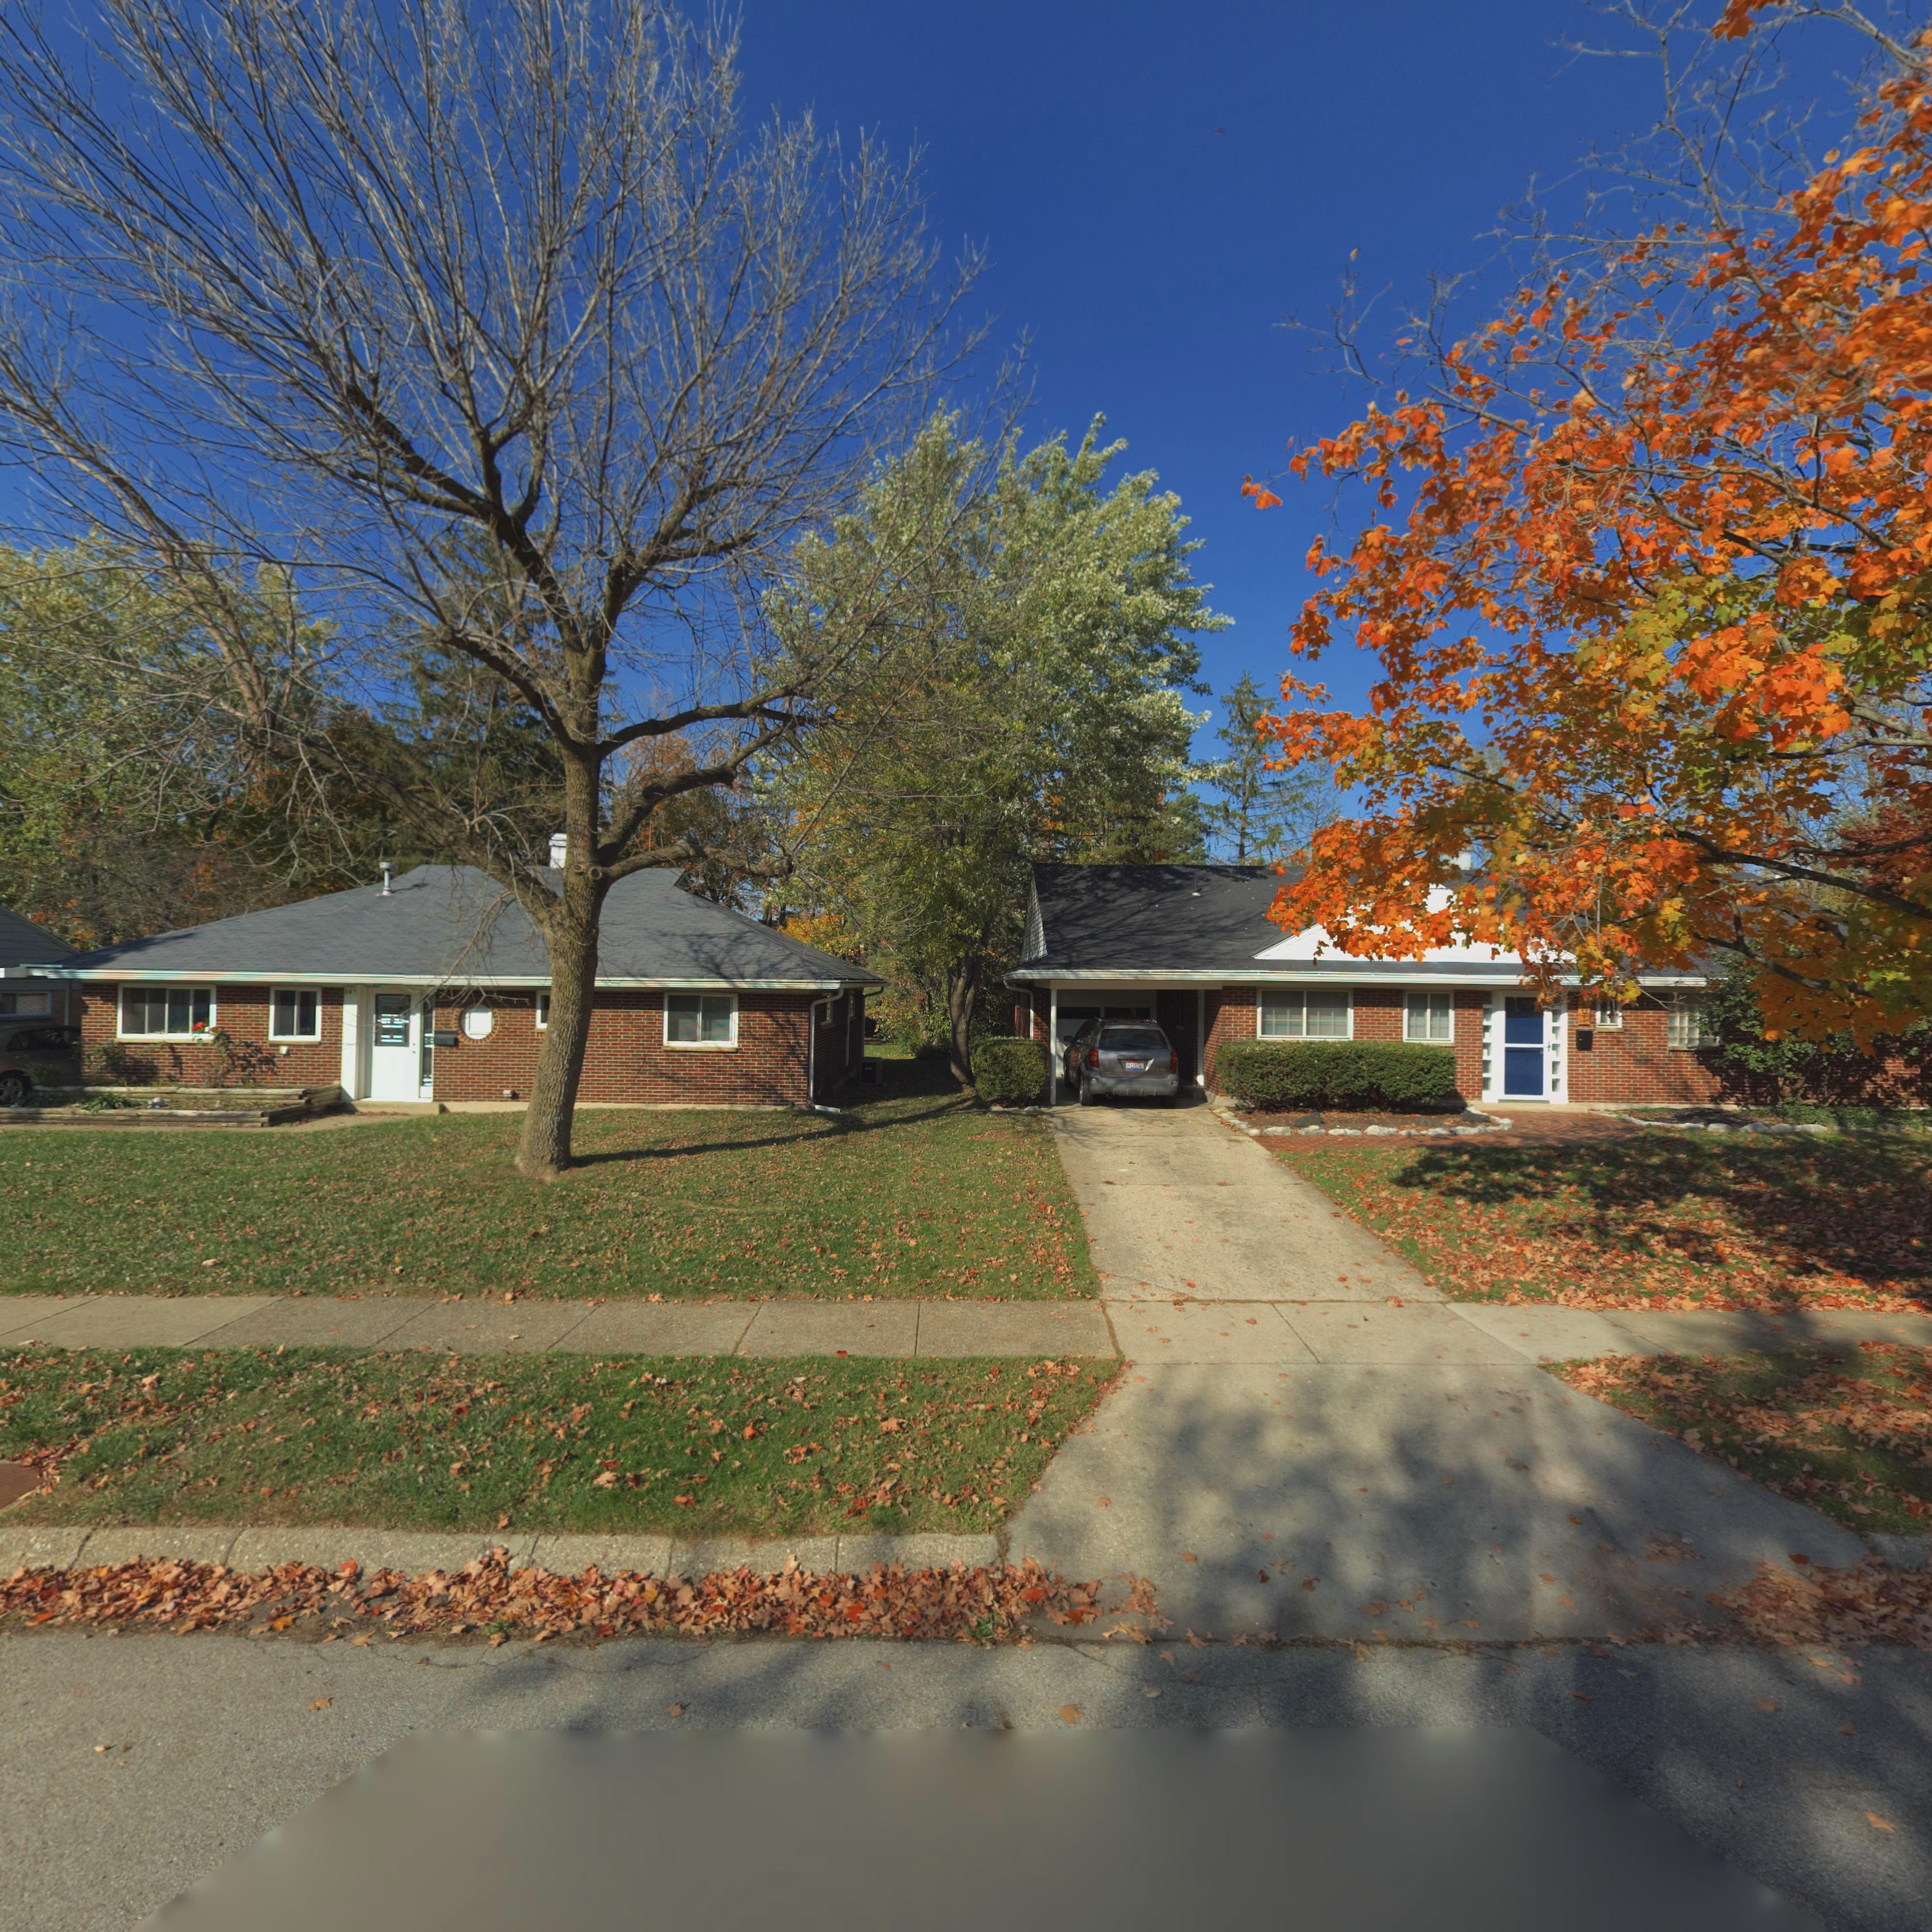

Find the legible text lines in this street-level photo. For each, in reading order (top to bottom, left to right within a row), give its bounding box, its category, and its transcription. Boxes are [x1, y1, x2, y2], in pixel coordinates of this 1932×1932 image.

[343, 987, 357, 995] StreetNumber: 645
[1581, 1005, 1588, 1024] StreetNumber: 01